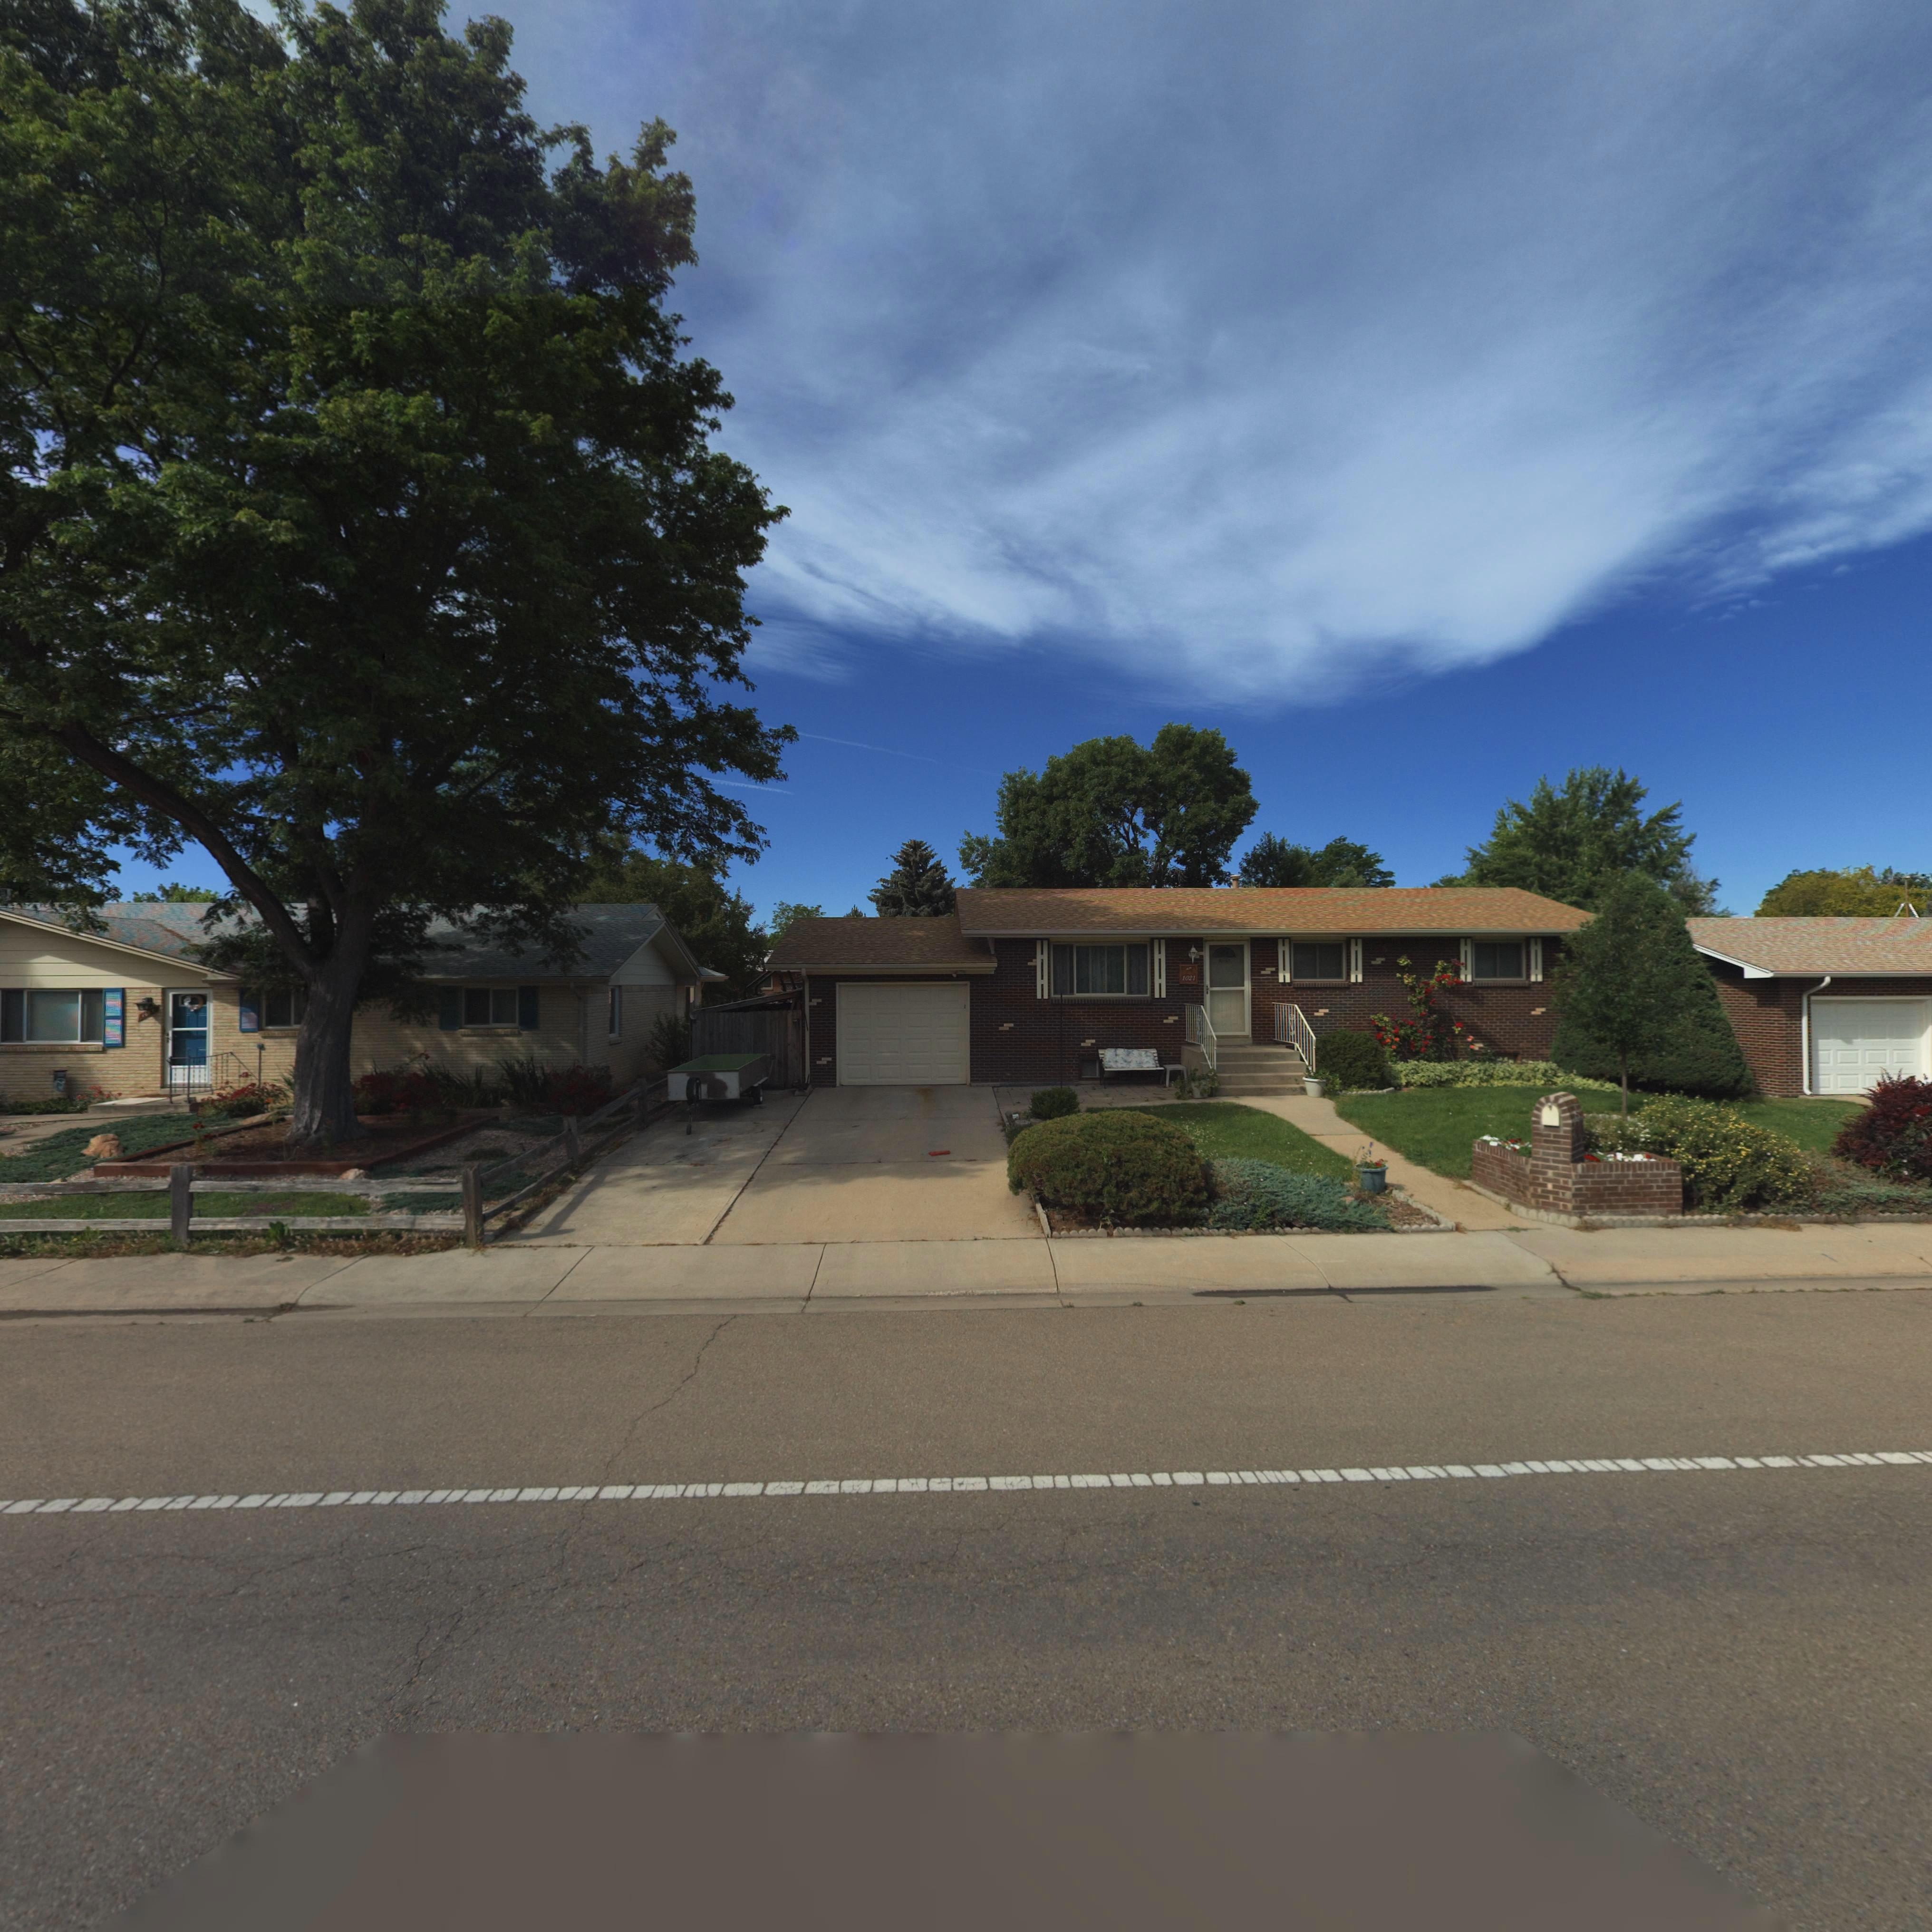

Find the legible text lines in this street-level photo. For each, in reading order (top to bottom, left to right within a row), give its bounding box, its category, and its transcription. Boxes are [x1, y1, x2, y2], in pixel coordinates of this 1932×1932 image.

[1181, 975, 1196, 981] StreetNumber: 1021